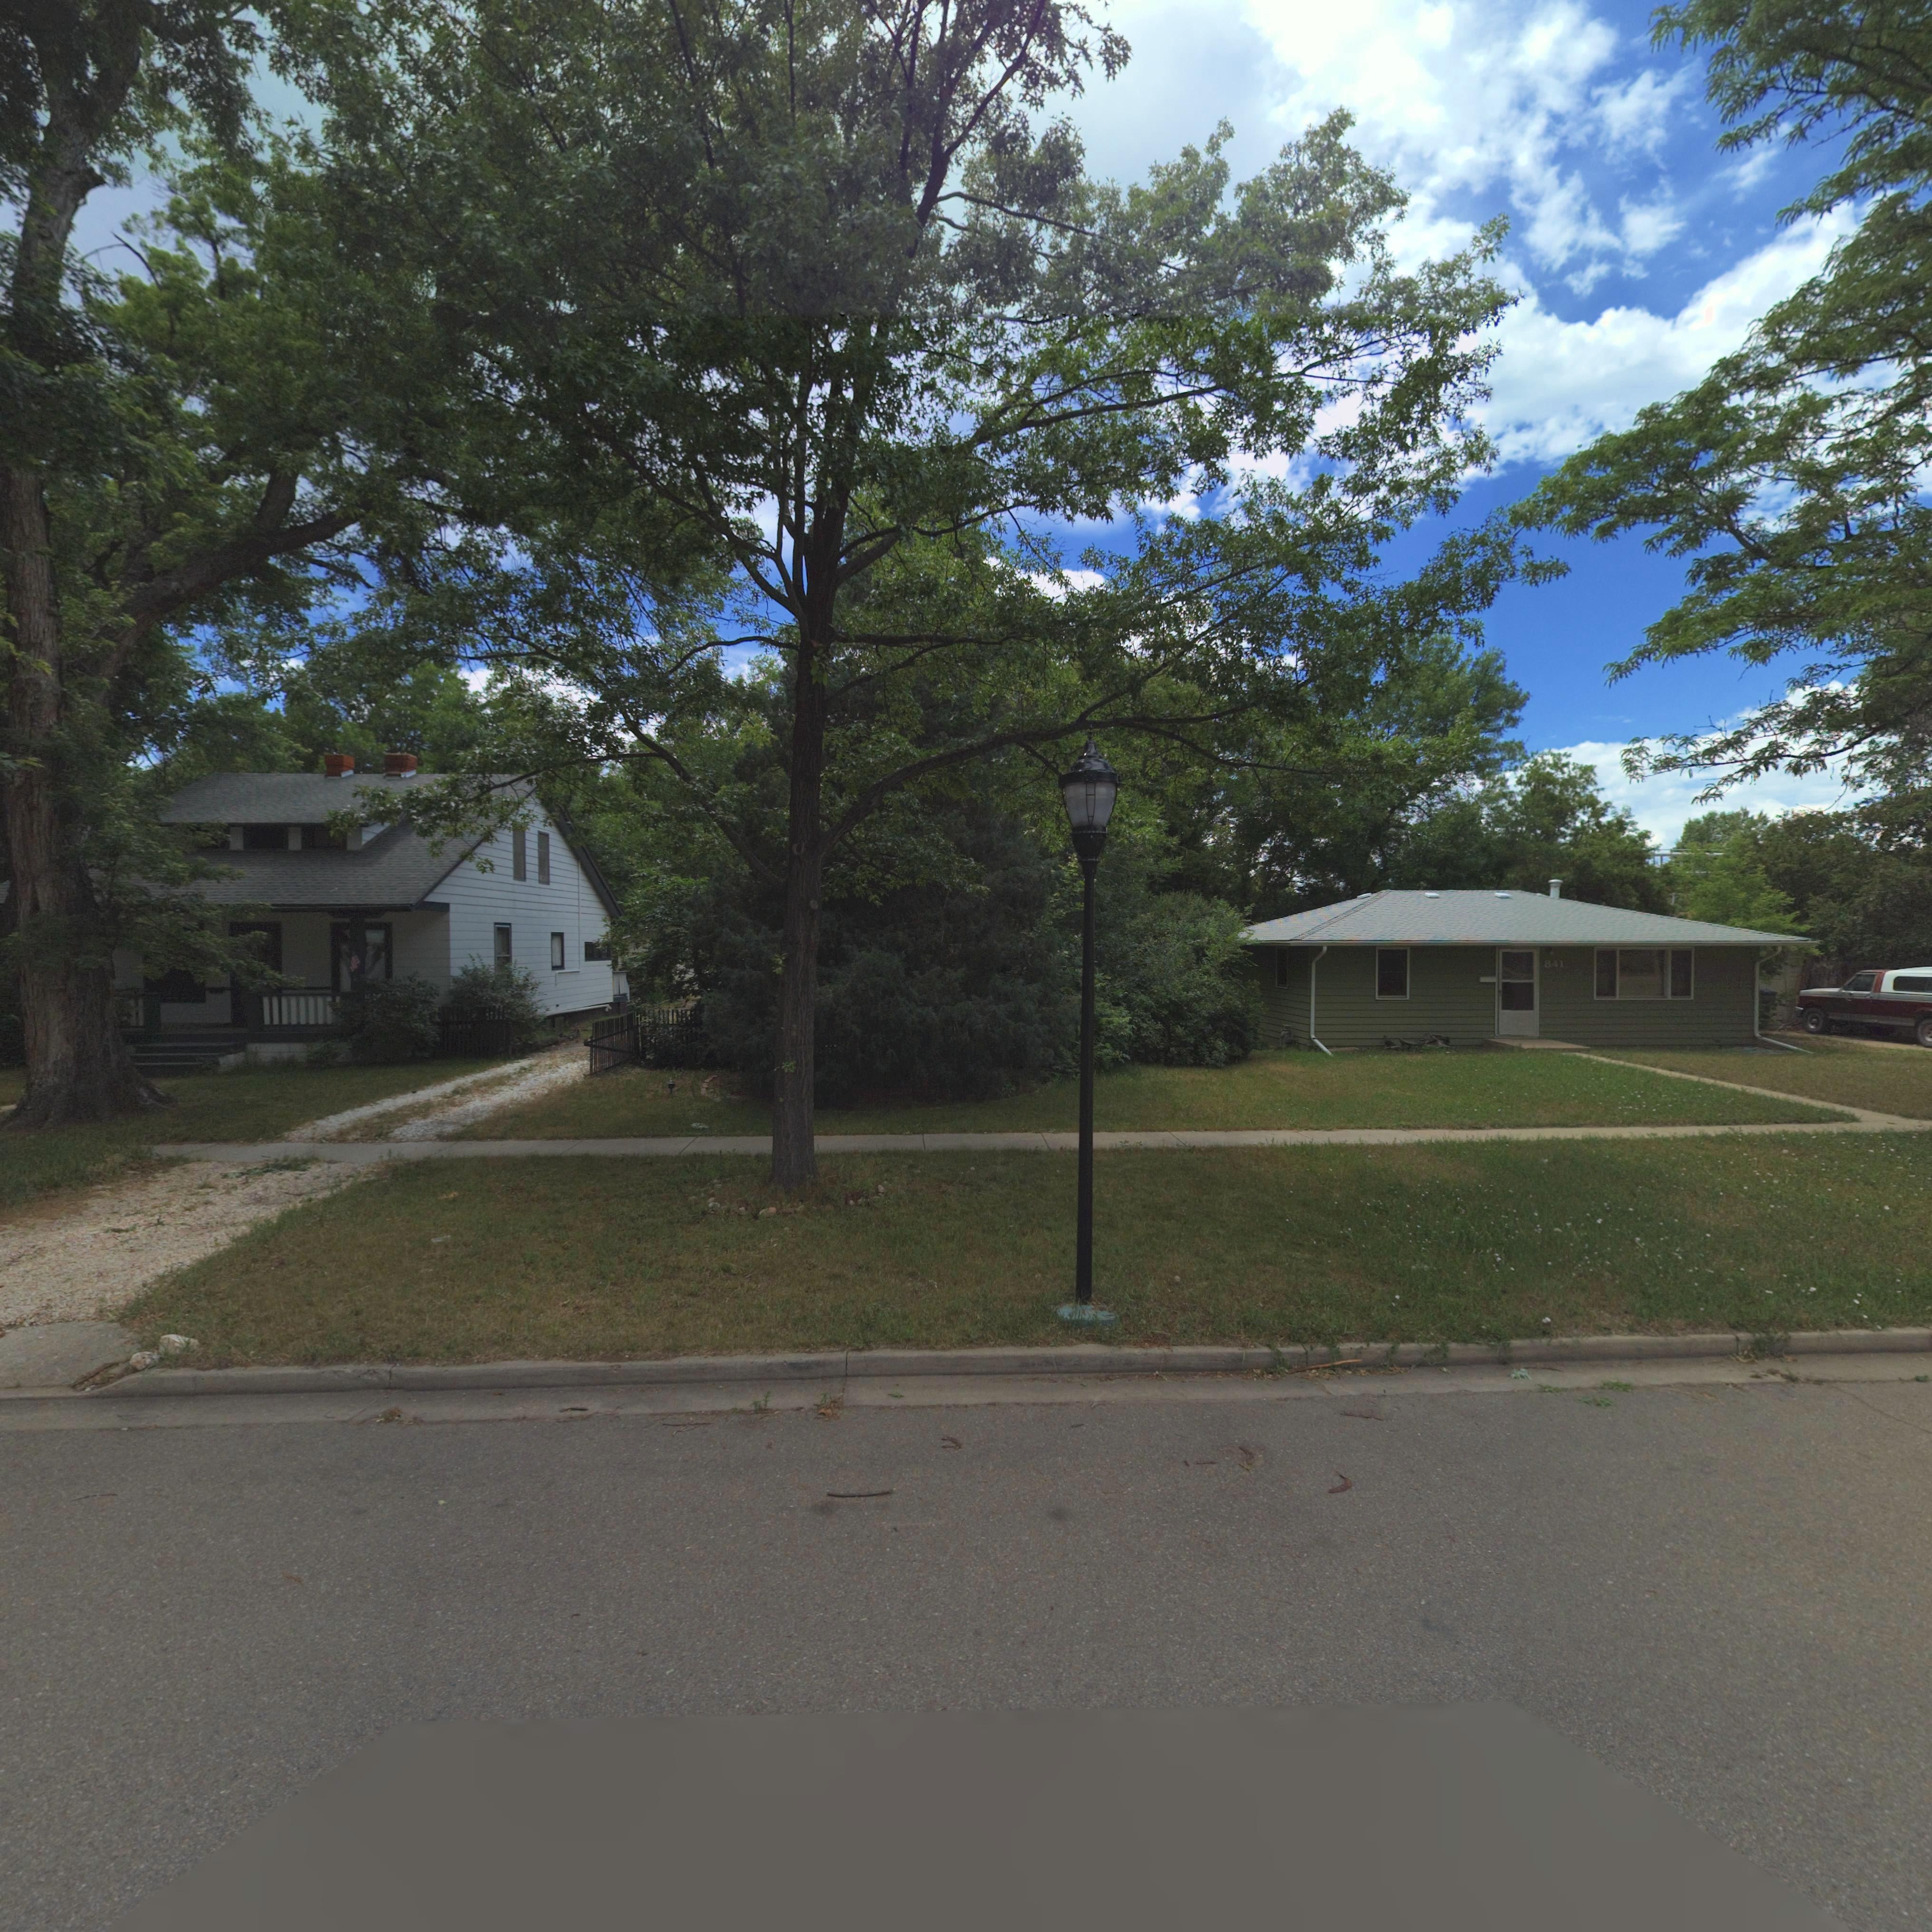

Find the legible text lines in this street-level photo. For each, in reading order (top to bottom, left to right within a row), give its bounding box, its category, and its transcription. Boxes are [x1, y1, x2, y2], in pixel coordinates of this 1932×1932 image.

[1544, 959, 1564, 968] StreetNumber: 841